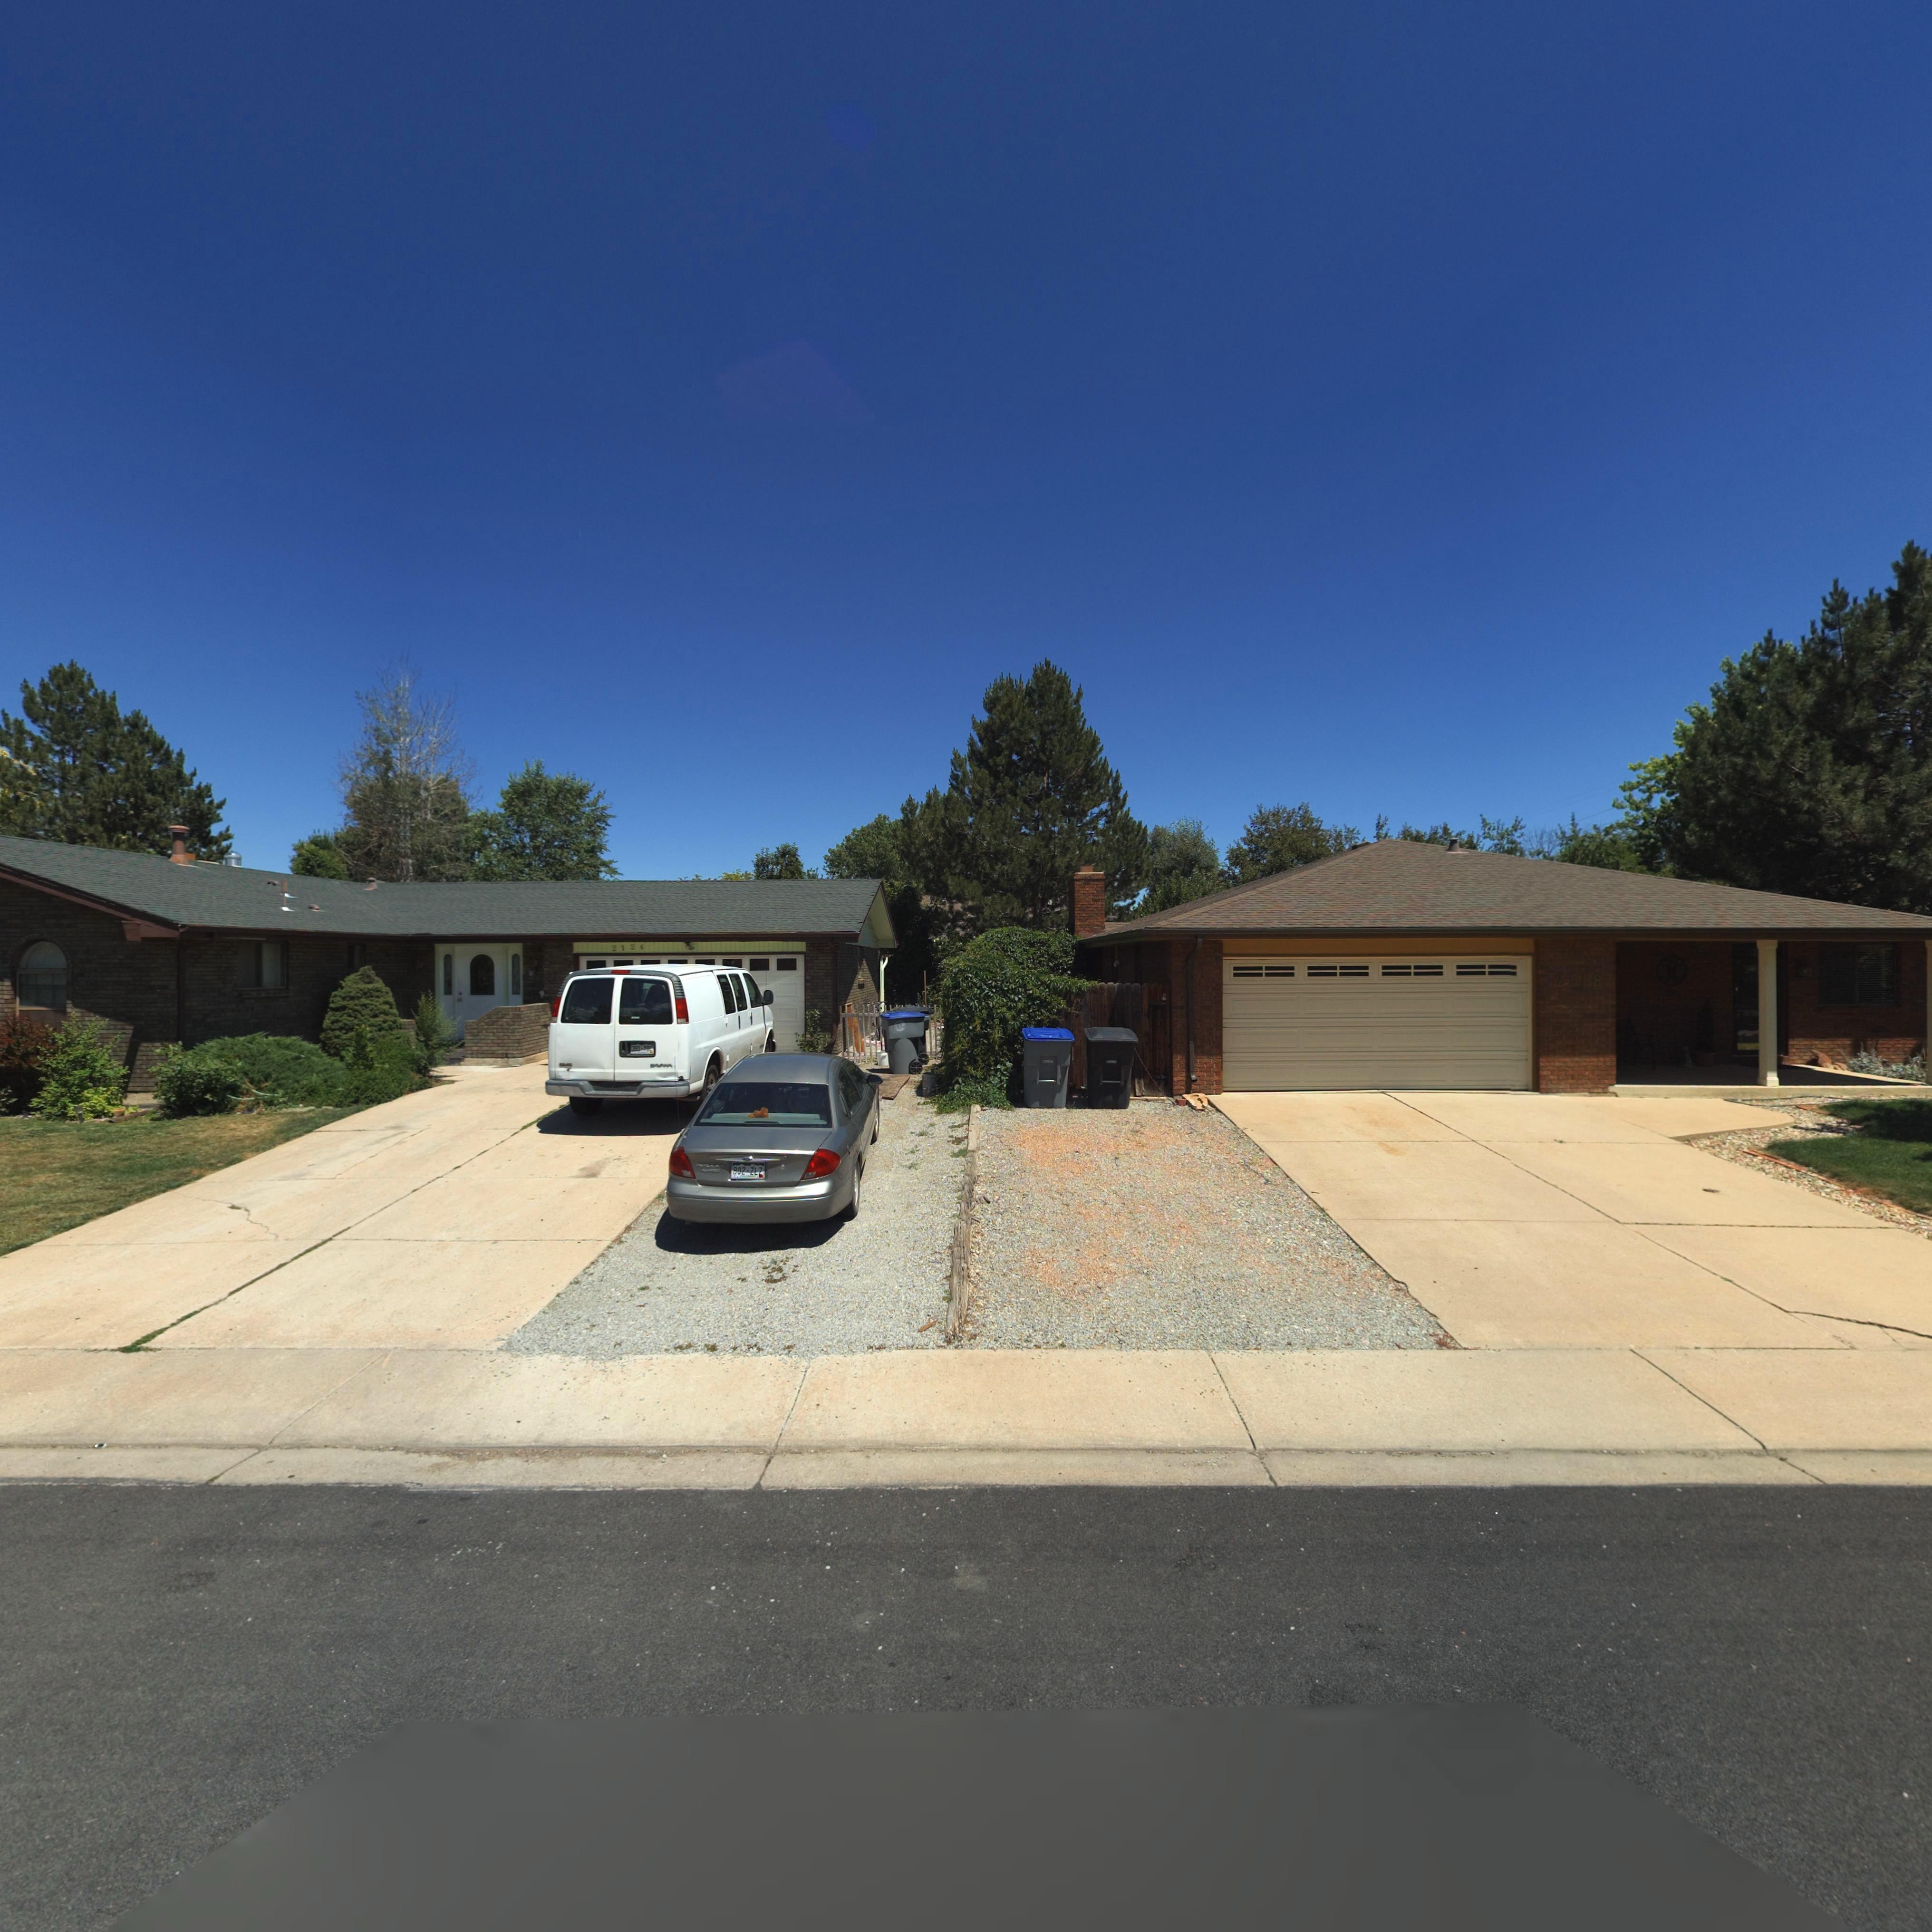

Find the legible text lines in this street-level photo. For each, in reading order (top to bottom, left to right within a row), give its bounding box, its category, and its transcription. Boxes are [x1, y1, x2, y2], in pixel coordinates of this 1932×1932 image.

[611, 943, 644, 951] StreetNumber: 2126